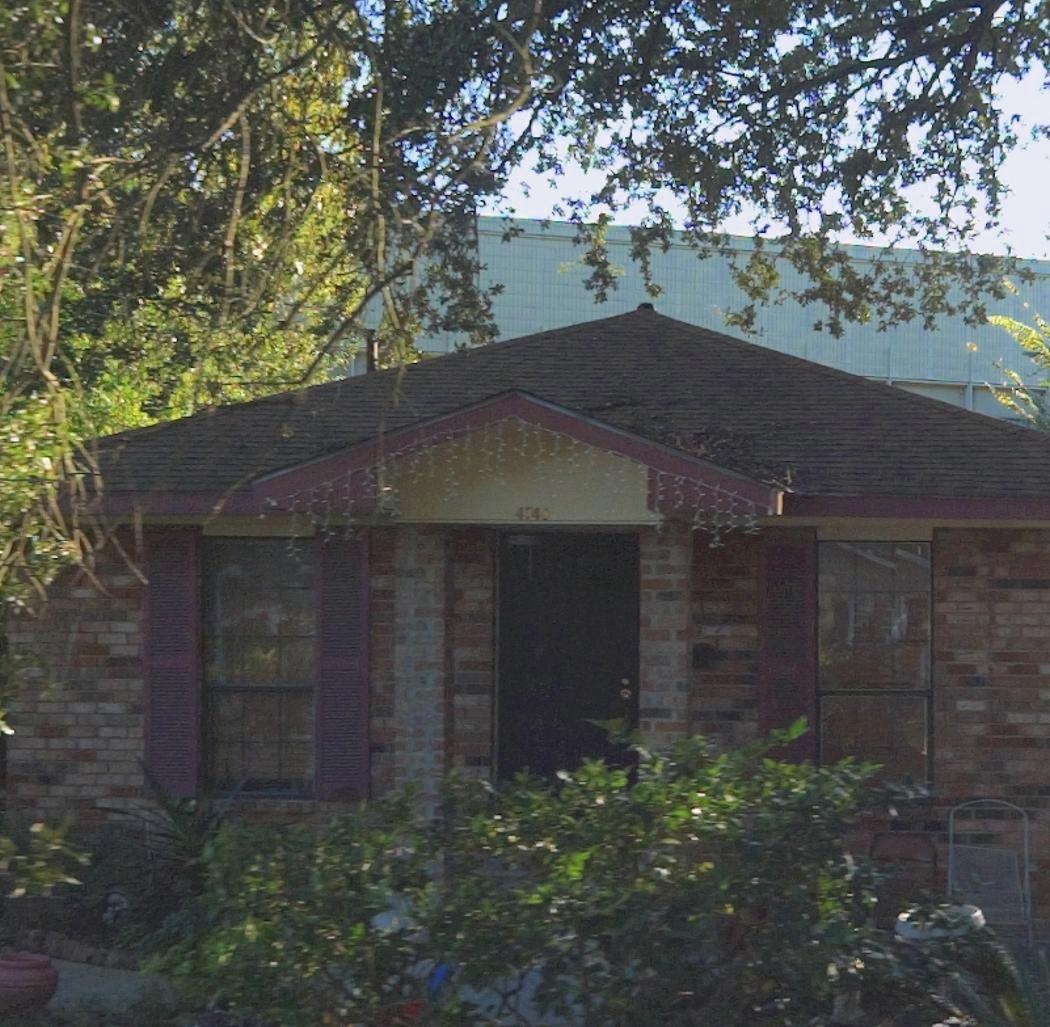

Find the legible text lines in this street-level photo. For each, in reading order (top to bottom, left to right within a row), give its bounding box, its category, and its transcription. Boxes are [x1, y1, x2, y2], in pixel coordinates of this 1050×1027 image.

[514, 505, 552, 521] StreetNumber: 4740